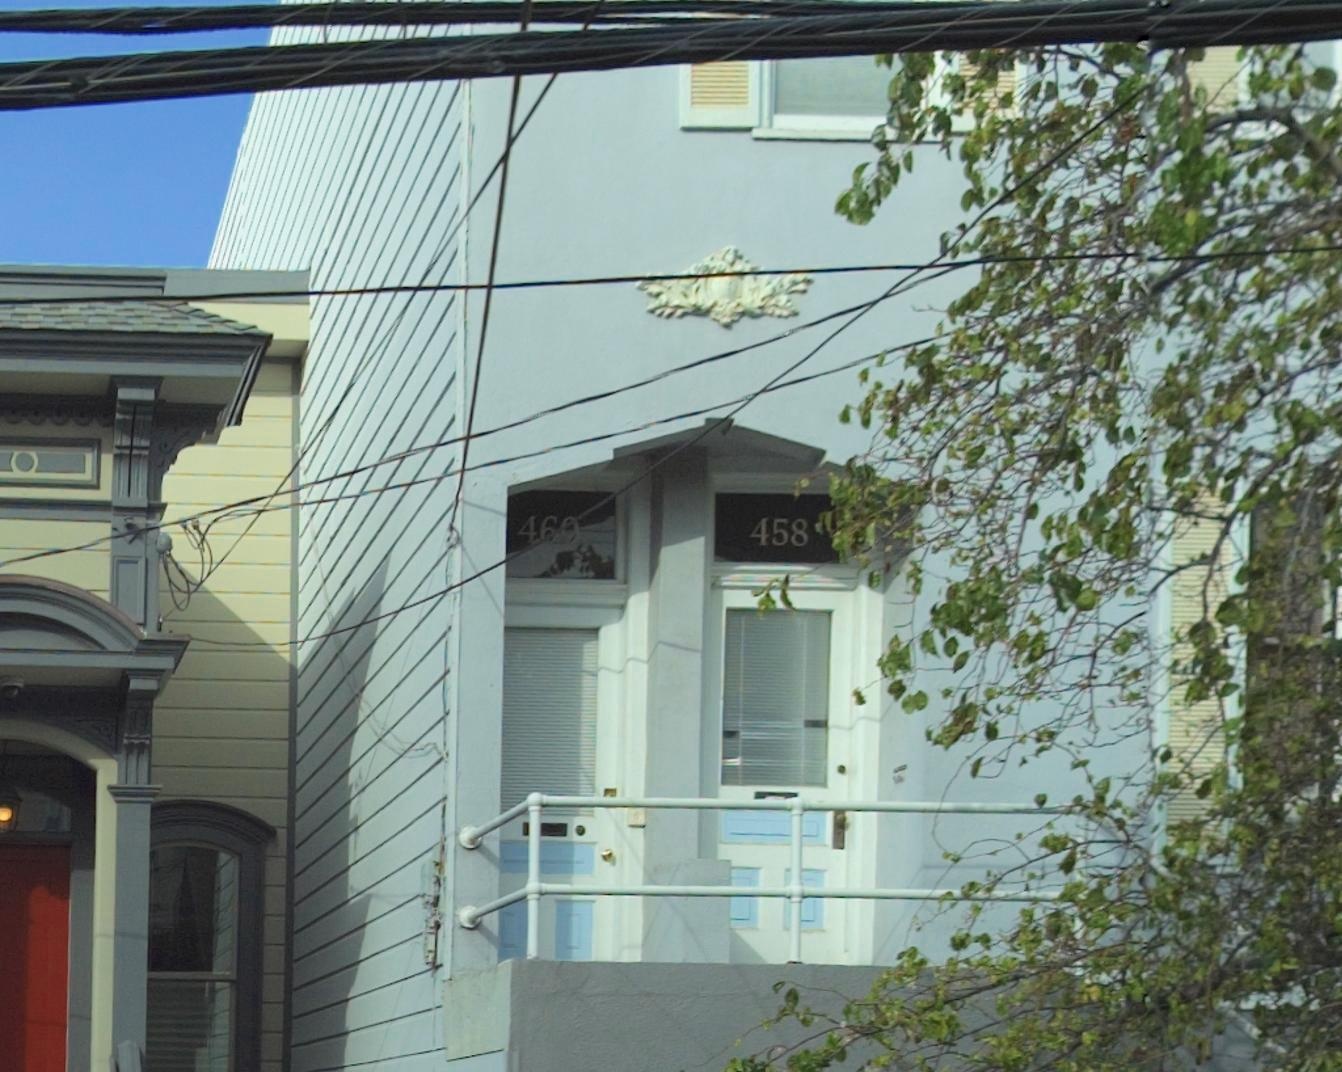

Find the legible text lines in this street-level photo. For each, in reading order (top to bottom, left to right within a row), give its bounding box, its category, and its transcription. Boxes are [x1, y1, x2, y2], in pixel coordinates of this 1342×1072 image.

[515, 513, 581, 546] StreetNumber: 460
[749, 516, 810, 548] StreetNumber: 458